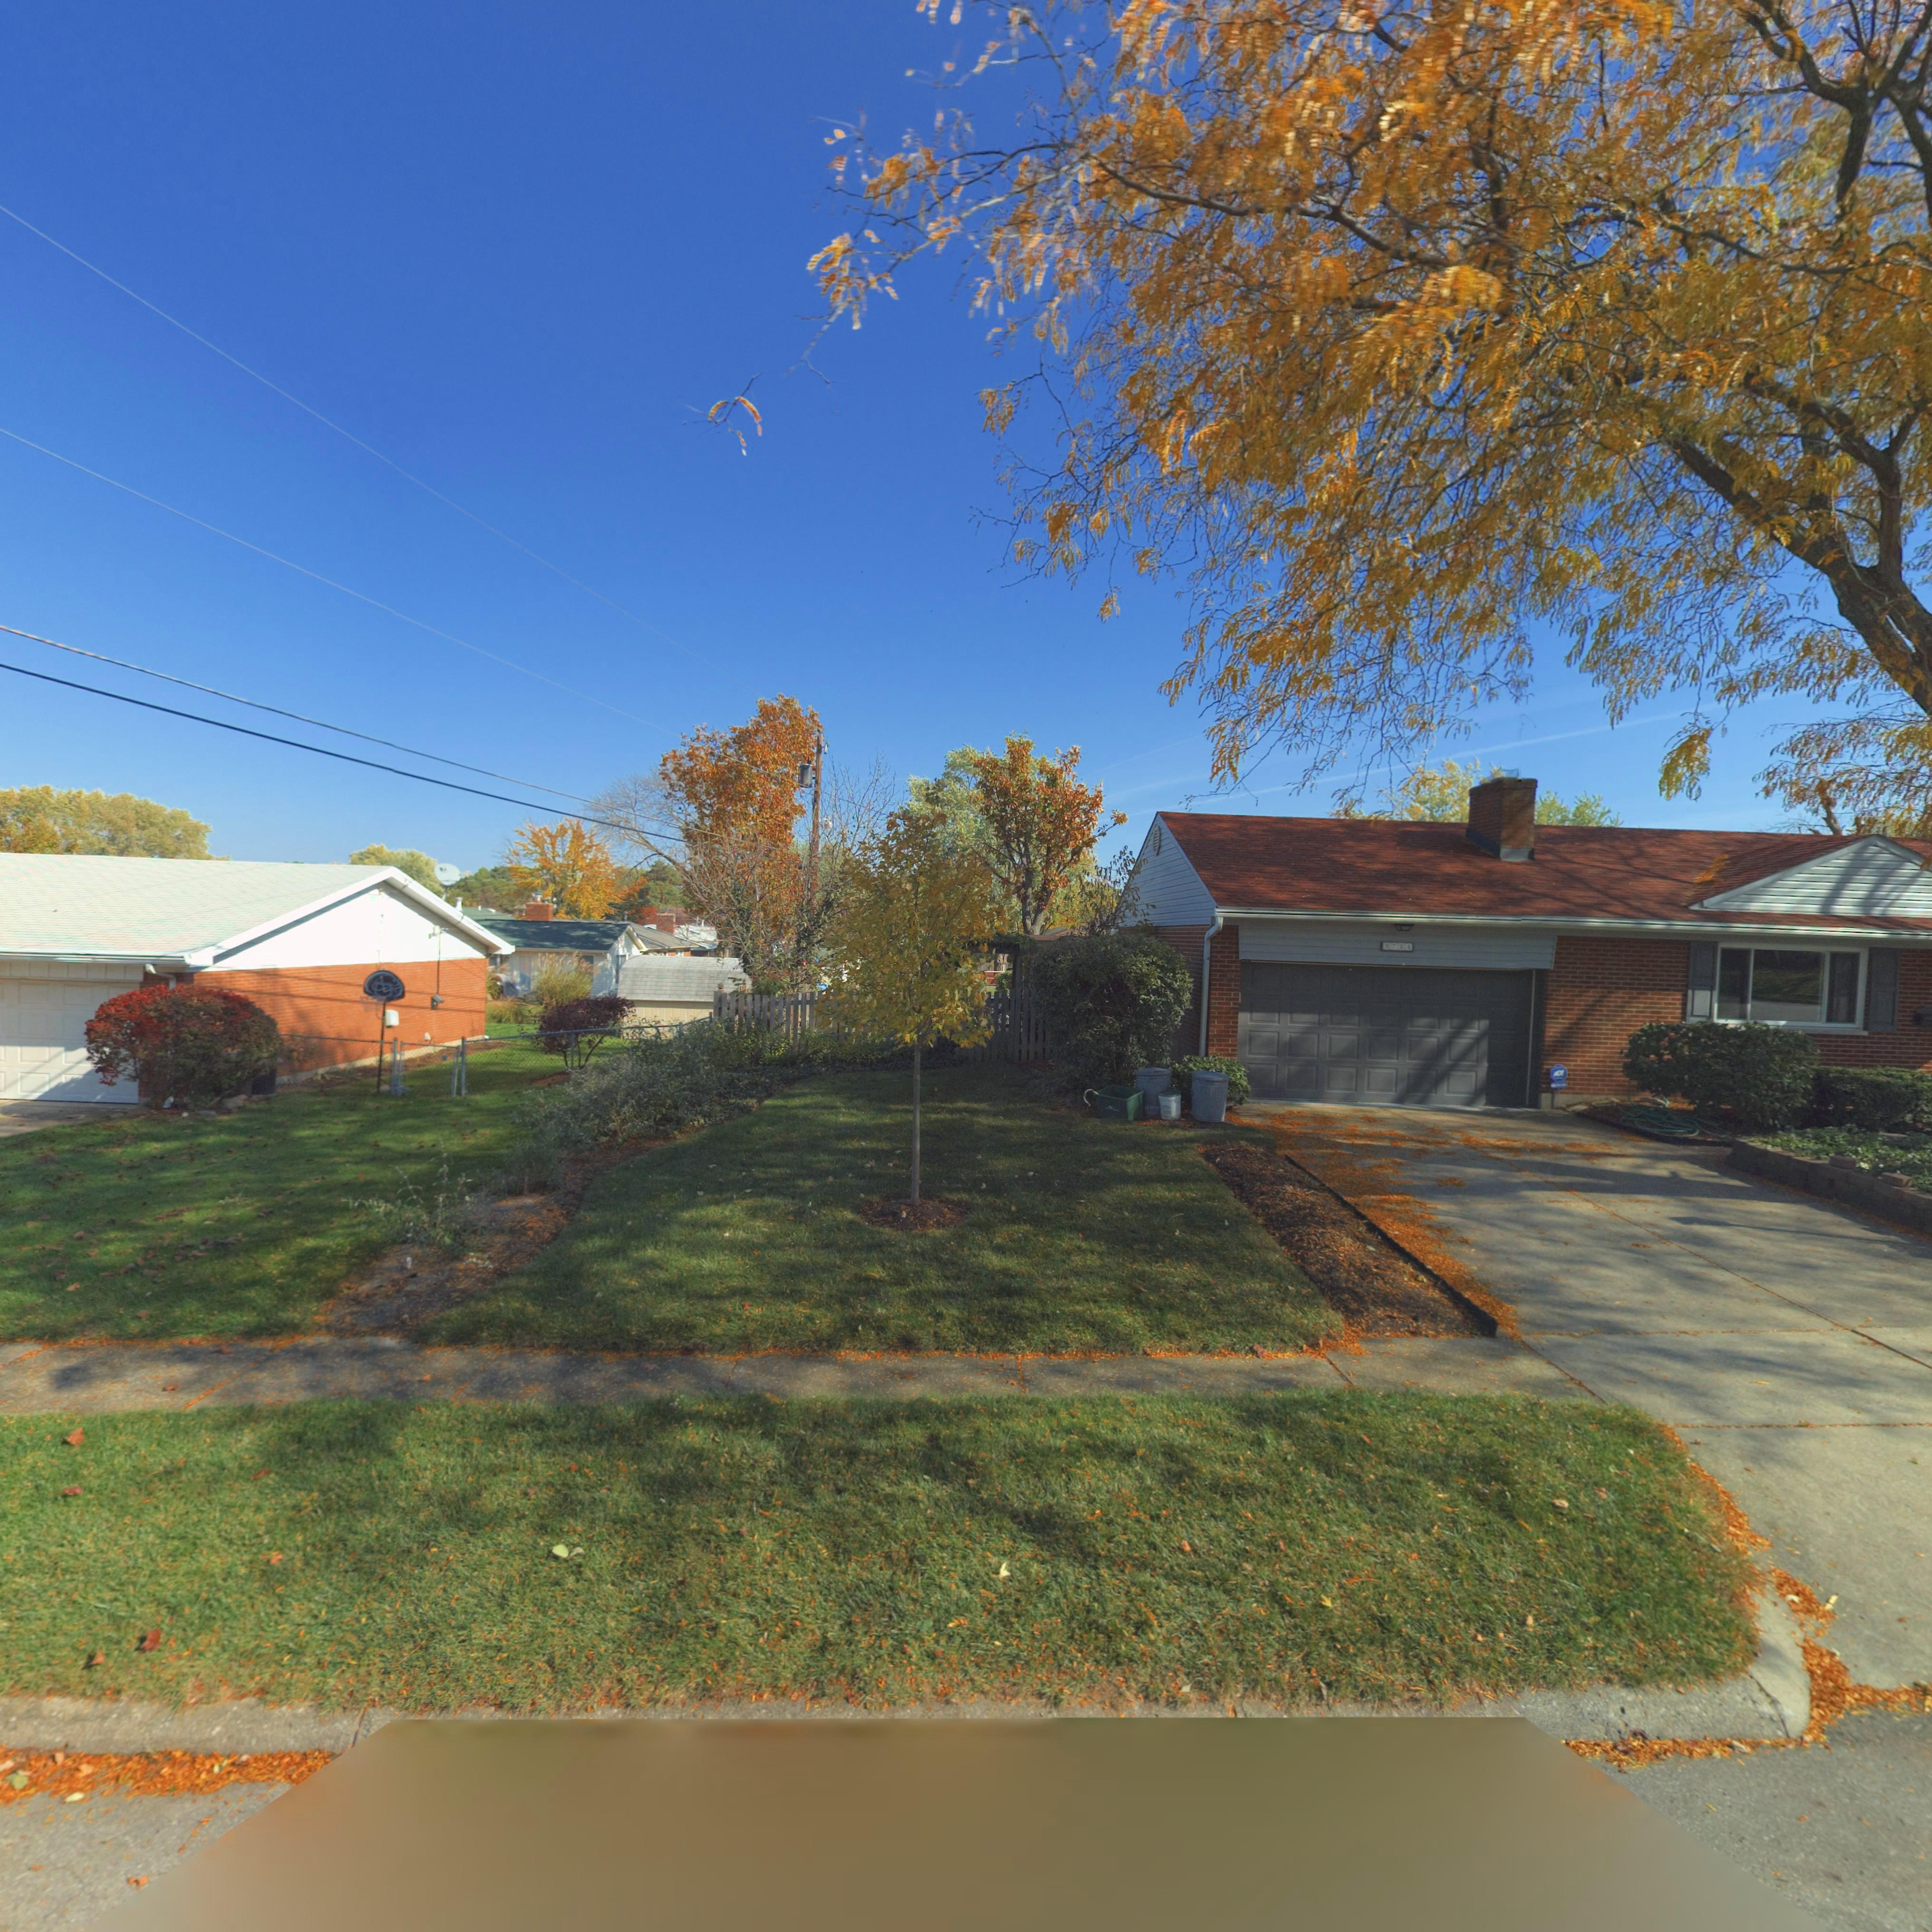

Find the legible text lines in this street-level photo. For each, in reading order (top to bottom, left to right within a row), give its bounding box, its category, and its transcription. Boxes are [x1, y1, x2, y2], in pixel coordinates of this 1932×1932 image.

[1384, 943, 1411, 950] StreetNumber: 3724